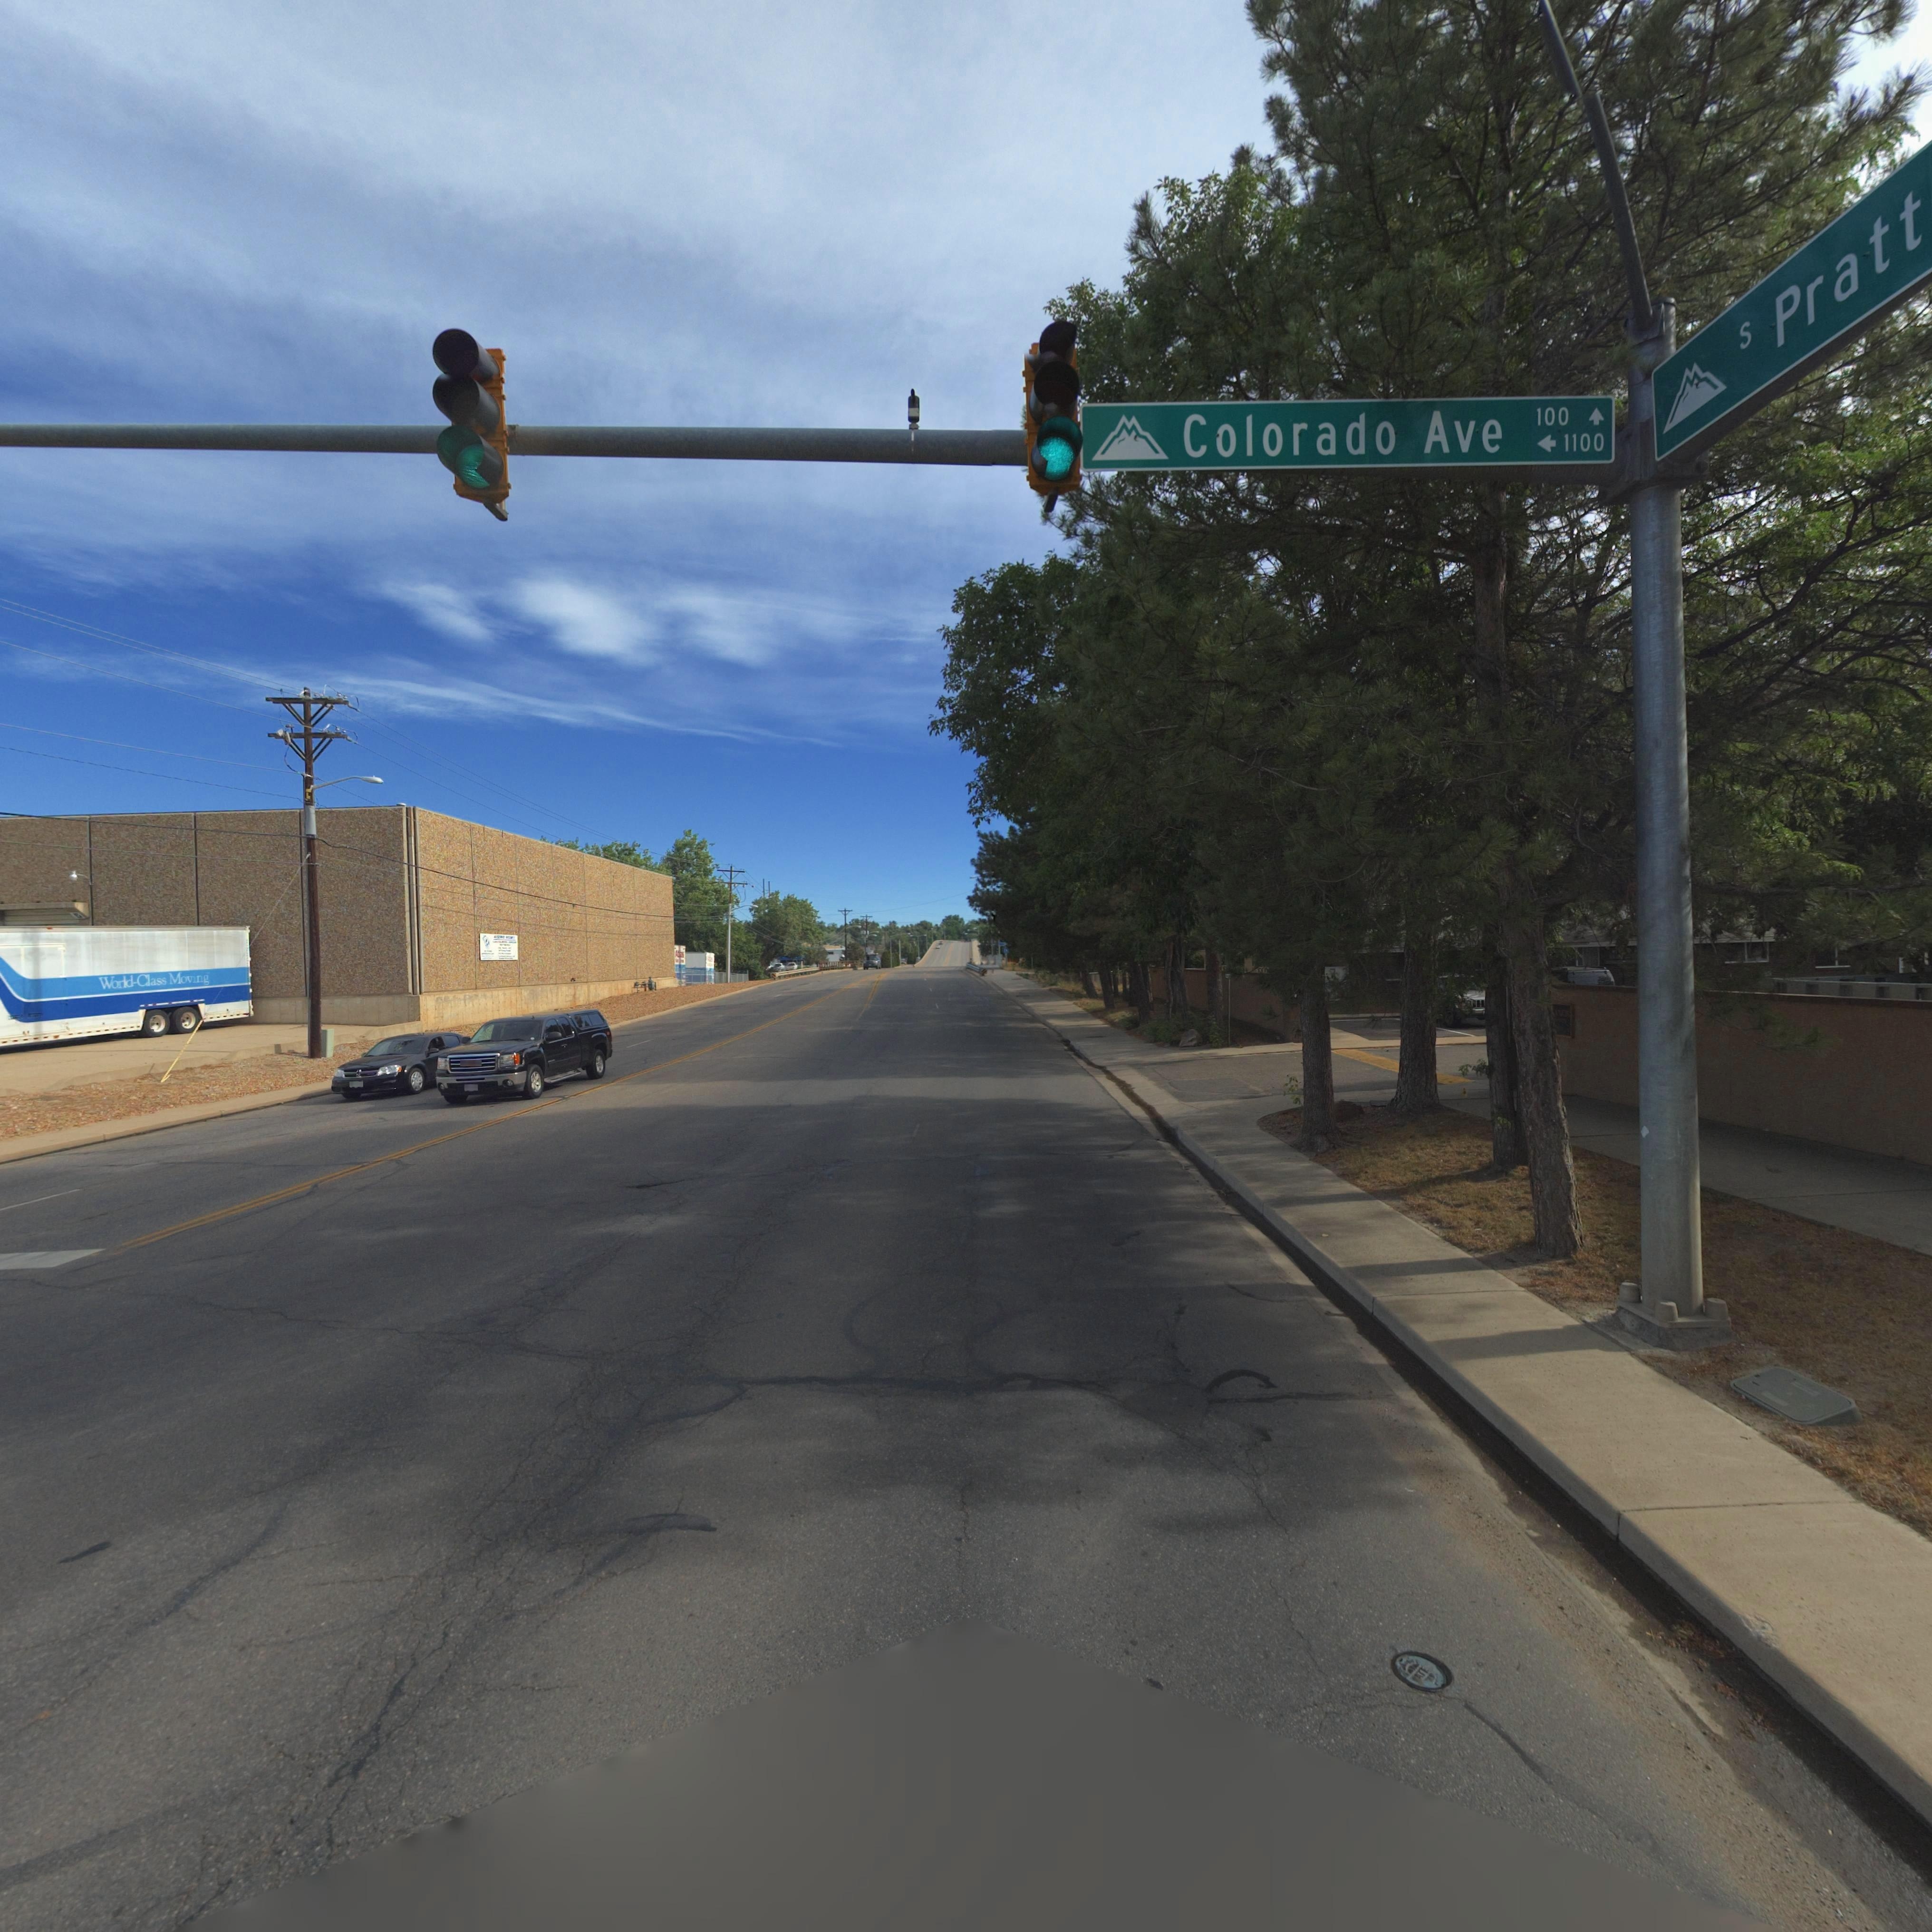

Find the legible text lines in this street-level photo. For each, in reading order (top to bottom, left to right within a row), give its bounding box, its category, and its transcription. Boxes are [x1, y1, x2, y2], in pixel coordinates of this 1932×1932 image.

[1737, 185, 1927, 351] StreetName: S Pratt
[1180, 406, 1507, 461] StreetName: Colorado Ave
[1536, 406, 1569, 426] StreetNumber: 100
[1534, 429, 1607, 455] StreetNumberRange: <-1100